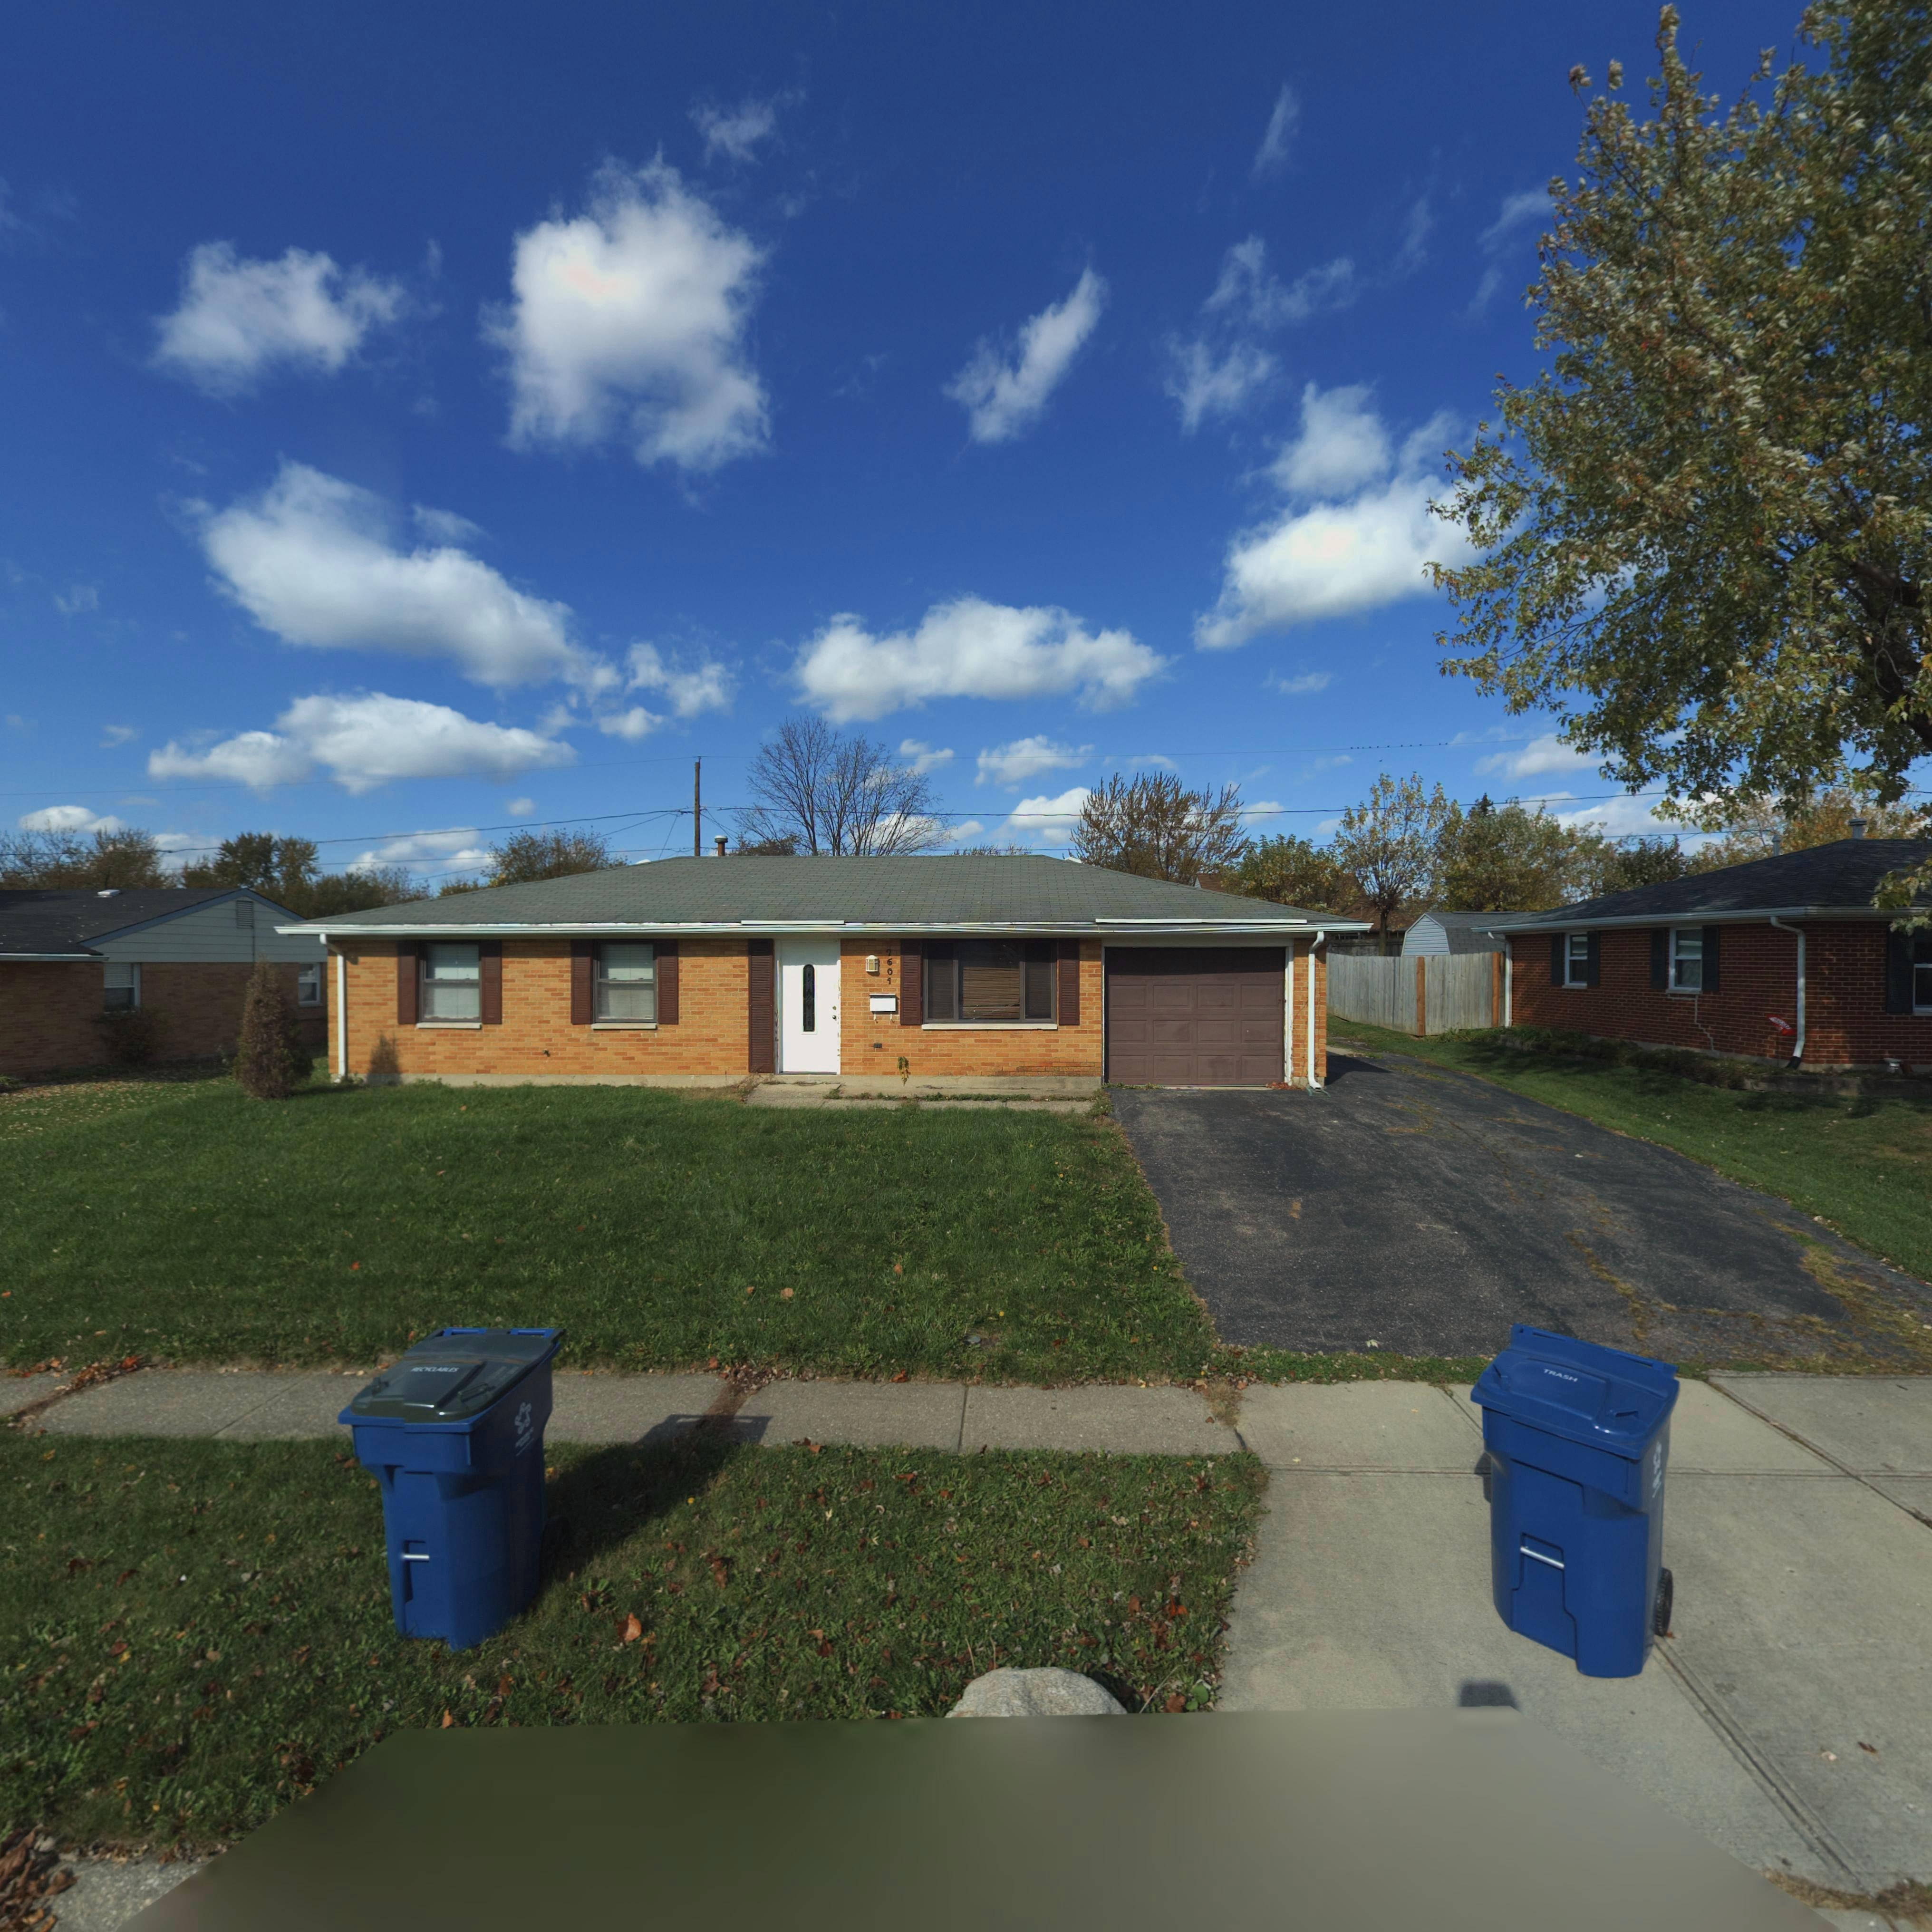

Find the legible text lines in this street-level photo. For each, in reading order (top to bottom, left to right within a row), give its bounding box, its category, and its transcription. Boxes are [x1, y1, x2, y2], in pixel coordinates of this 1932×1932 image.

[886, 949, 892, 985] StreetNumber: 7601